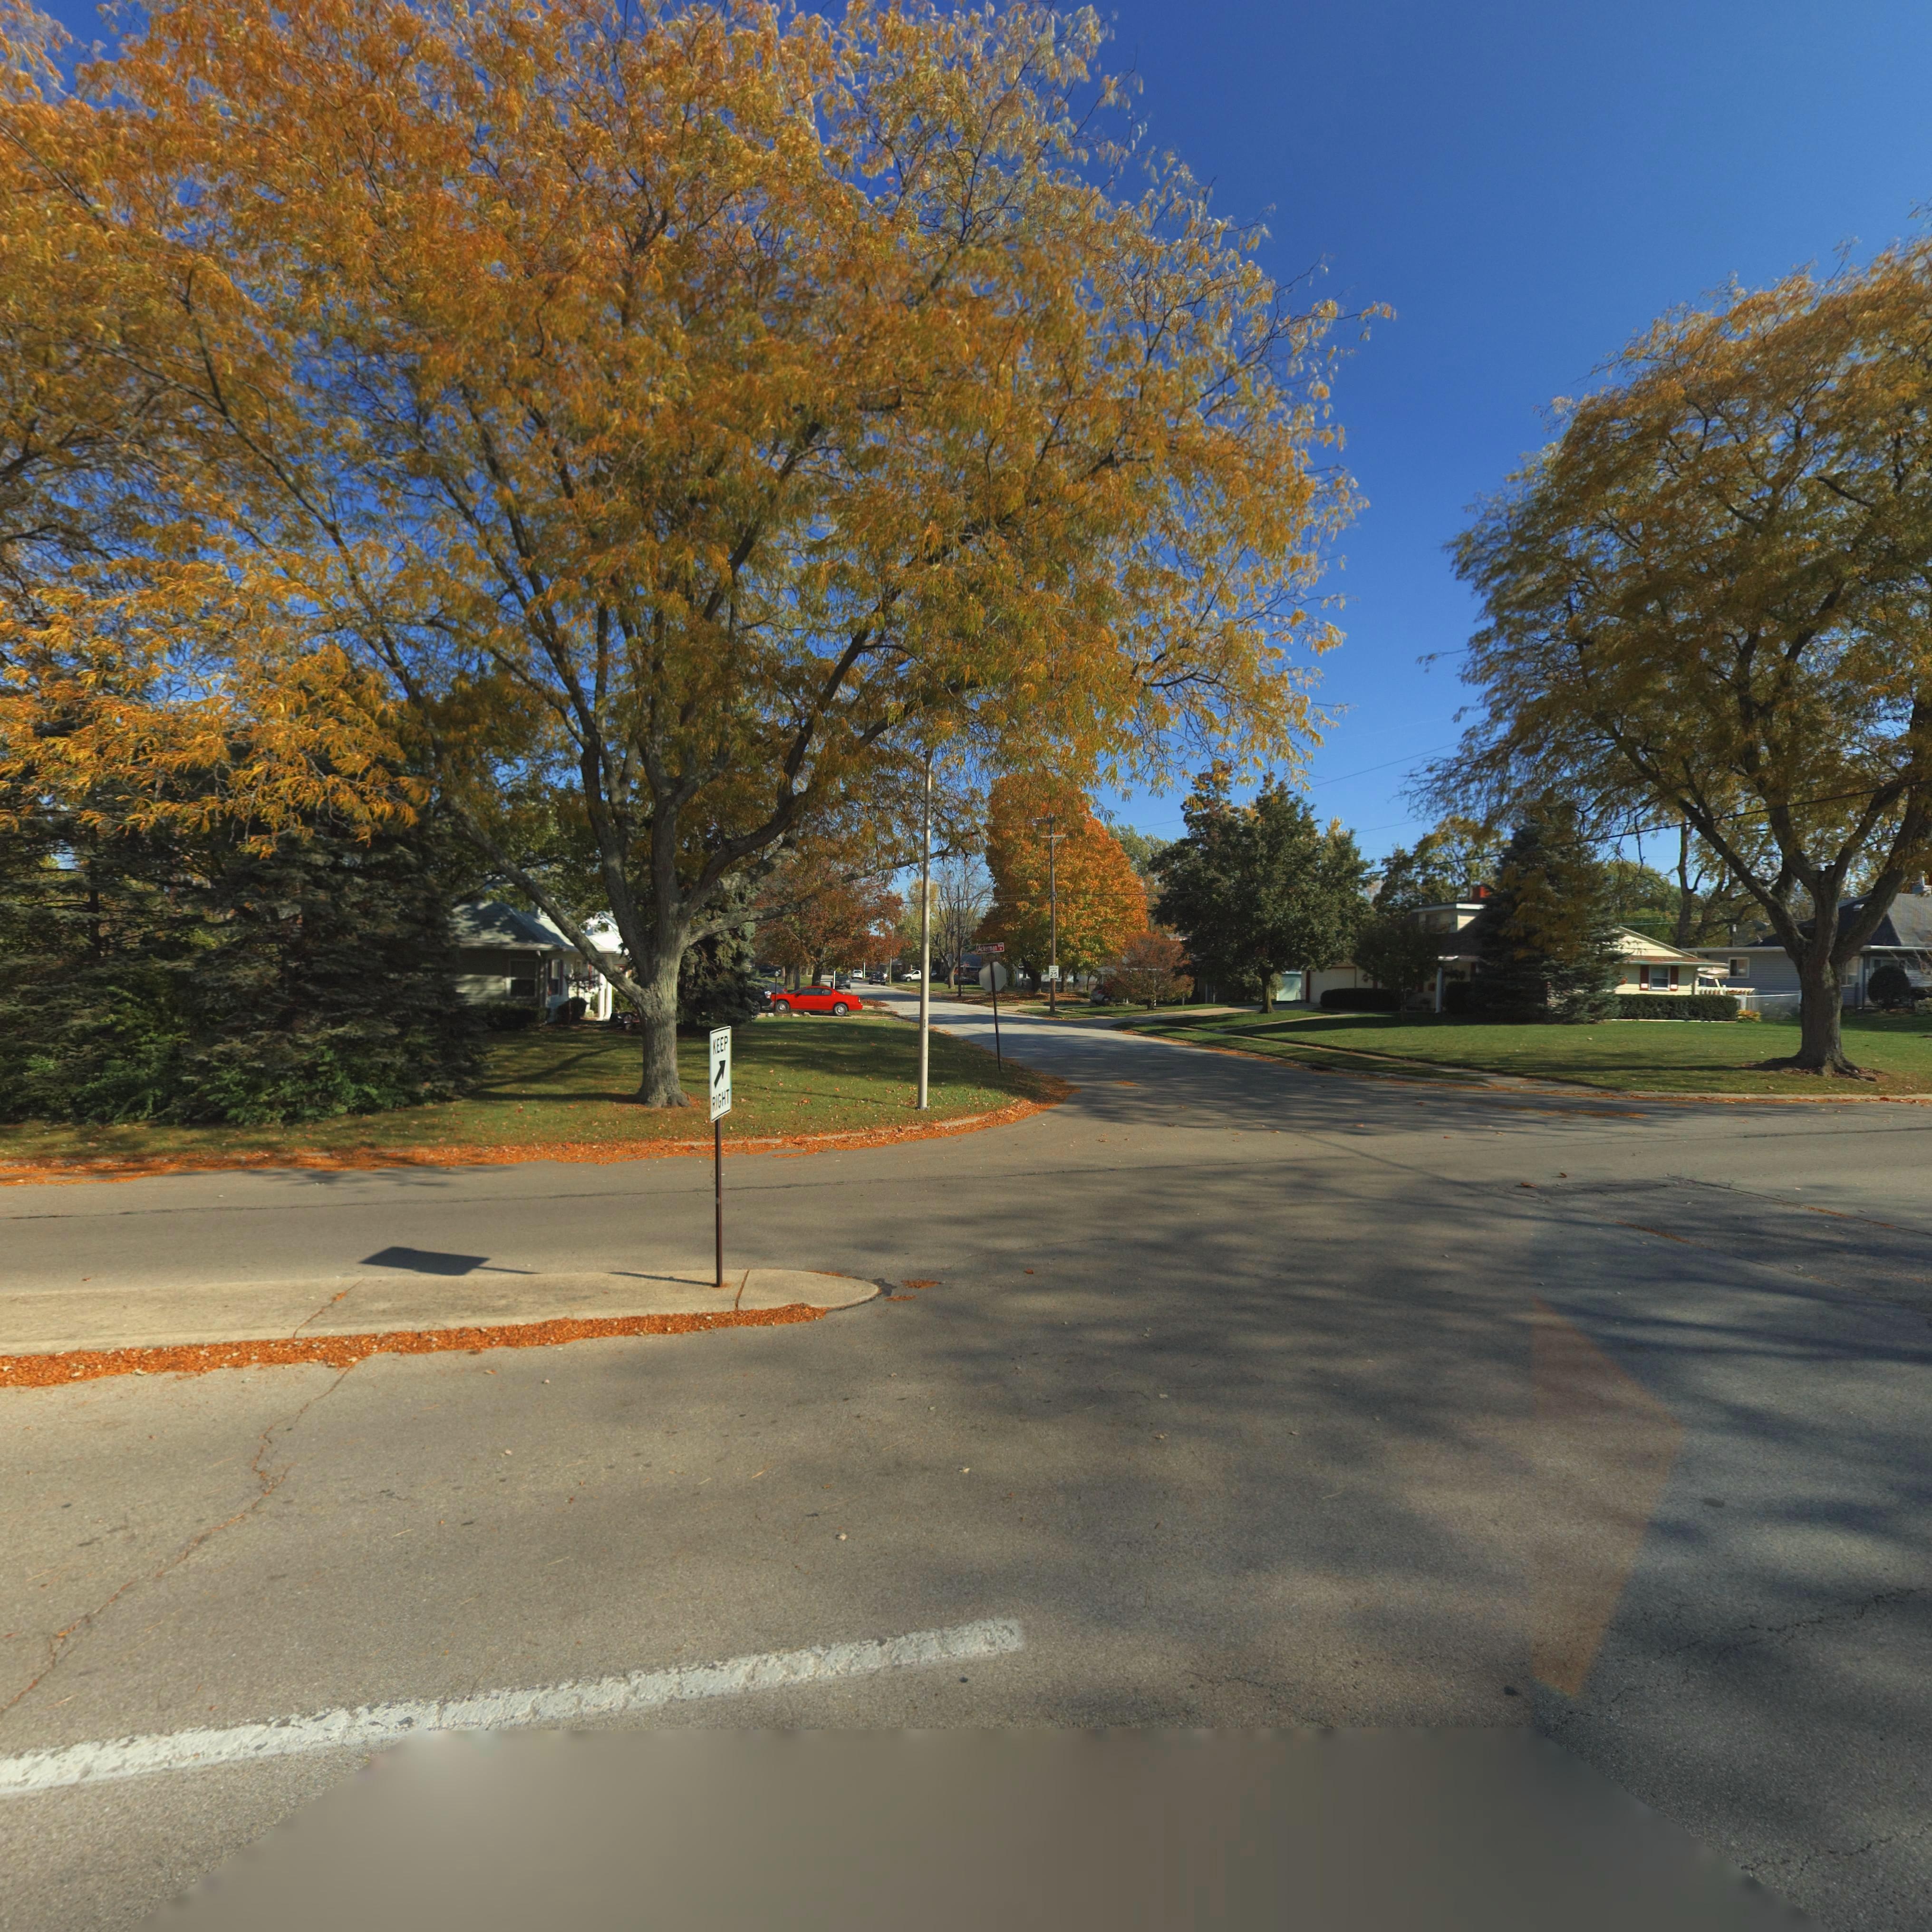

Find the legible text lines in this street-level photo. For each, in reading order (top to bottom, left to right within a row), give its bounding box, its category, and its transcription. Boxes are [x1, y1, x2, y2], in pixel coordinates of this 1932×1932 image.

[977, 945, 998, 953] StreetName: Ackerman
[984, 954, 995, 961] StreetName: Ga**ner
[1050, 972, 1057, 977] None: 25
[712, 1035, 728, 1056] None: KEEP
[712, 1088, 730, 1114] None: RIGHT